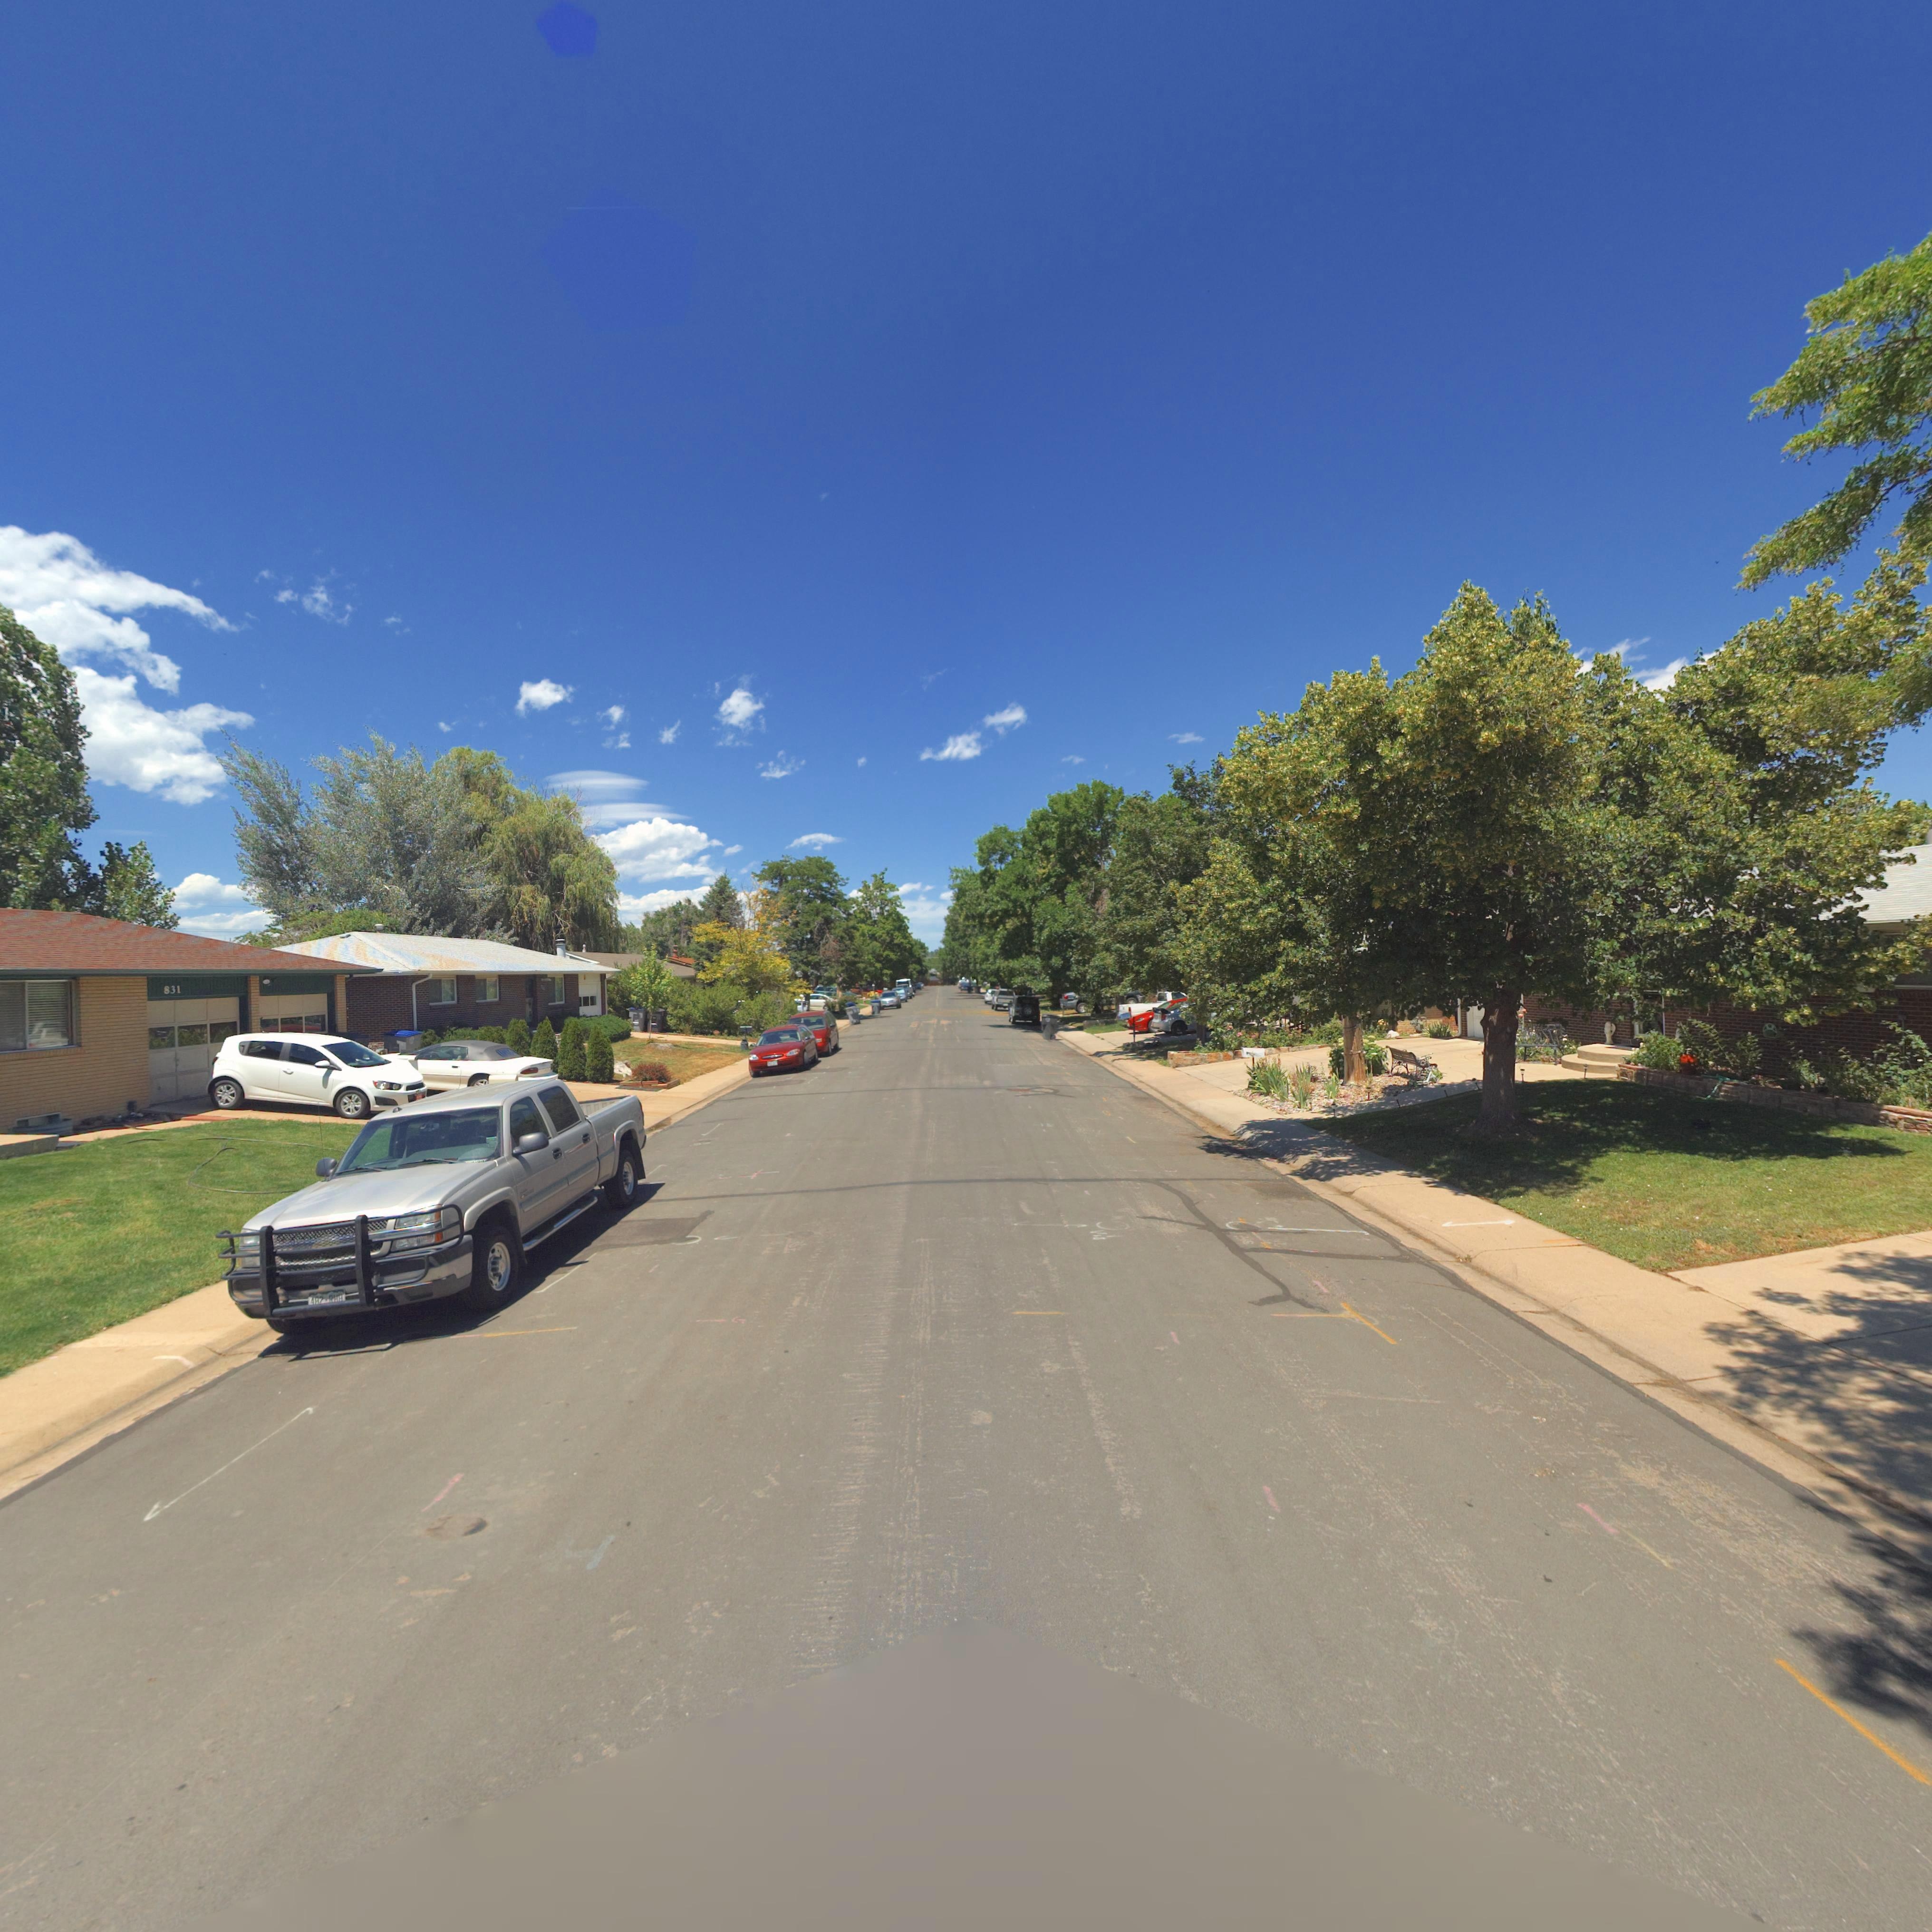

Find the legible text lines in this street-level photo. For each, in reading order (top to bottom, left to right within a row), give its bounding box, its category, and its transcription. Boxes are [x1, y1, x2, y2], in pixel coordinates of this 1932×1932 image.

[164, 985, 181, 994] StreetNumber: 831